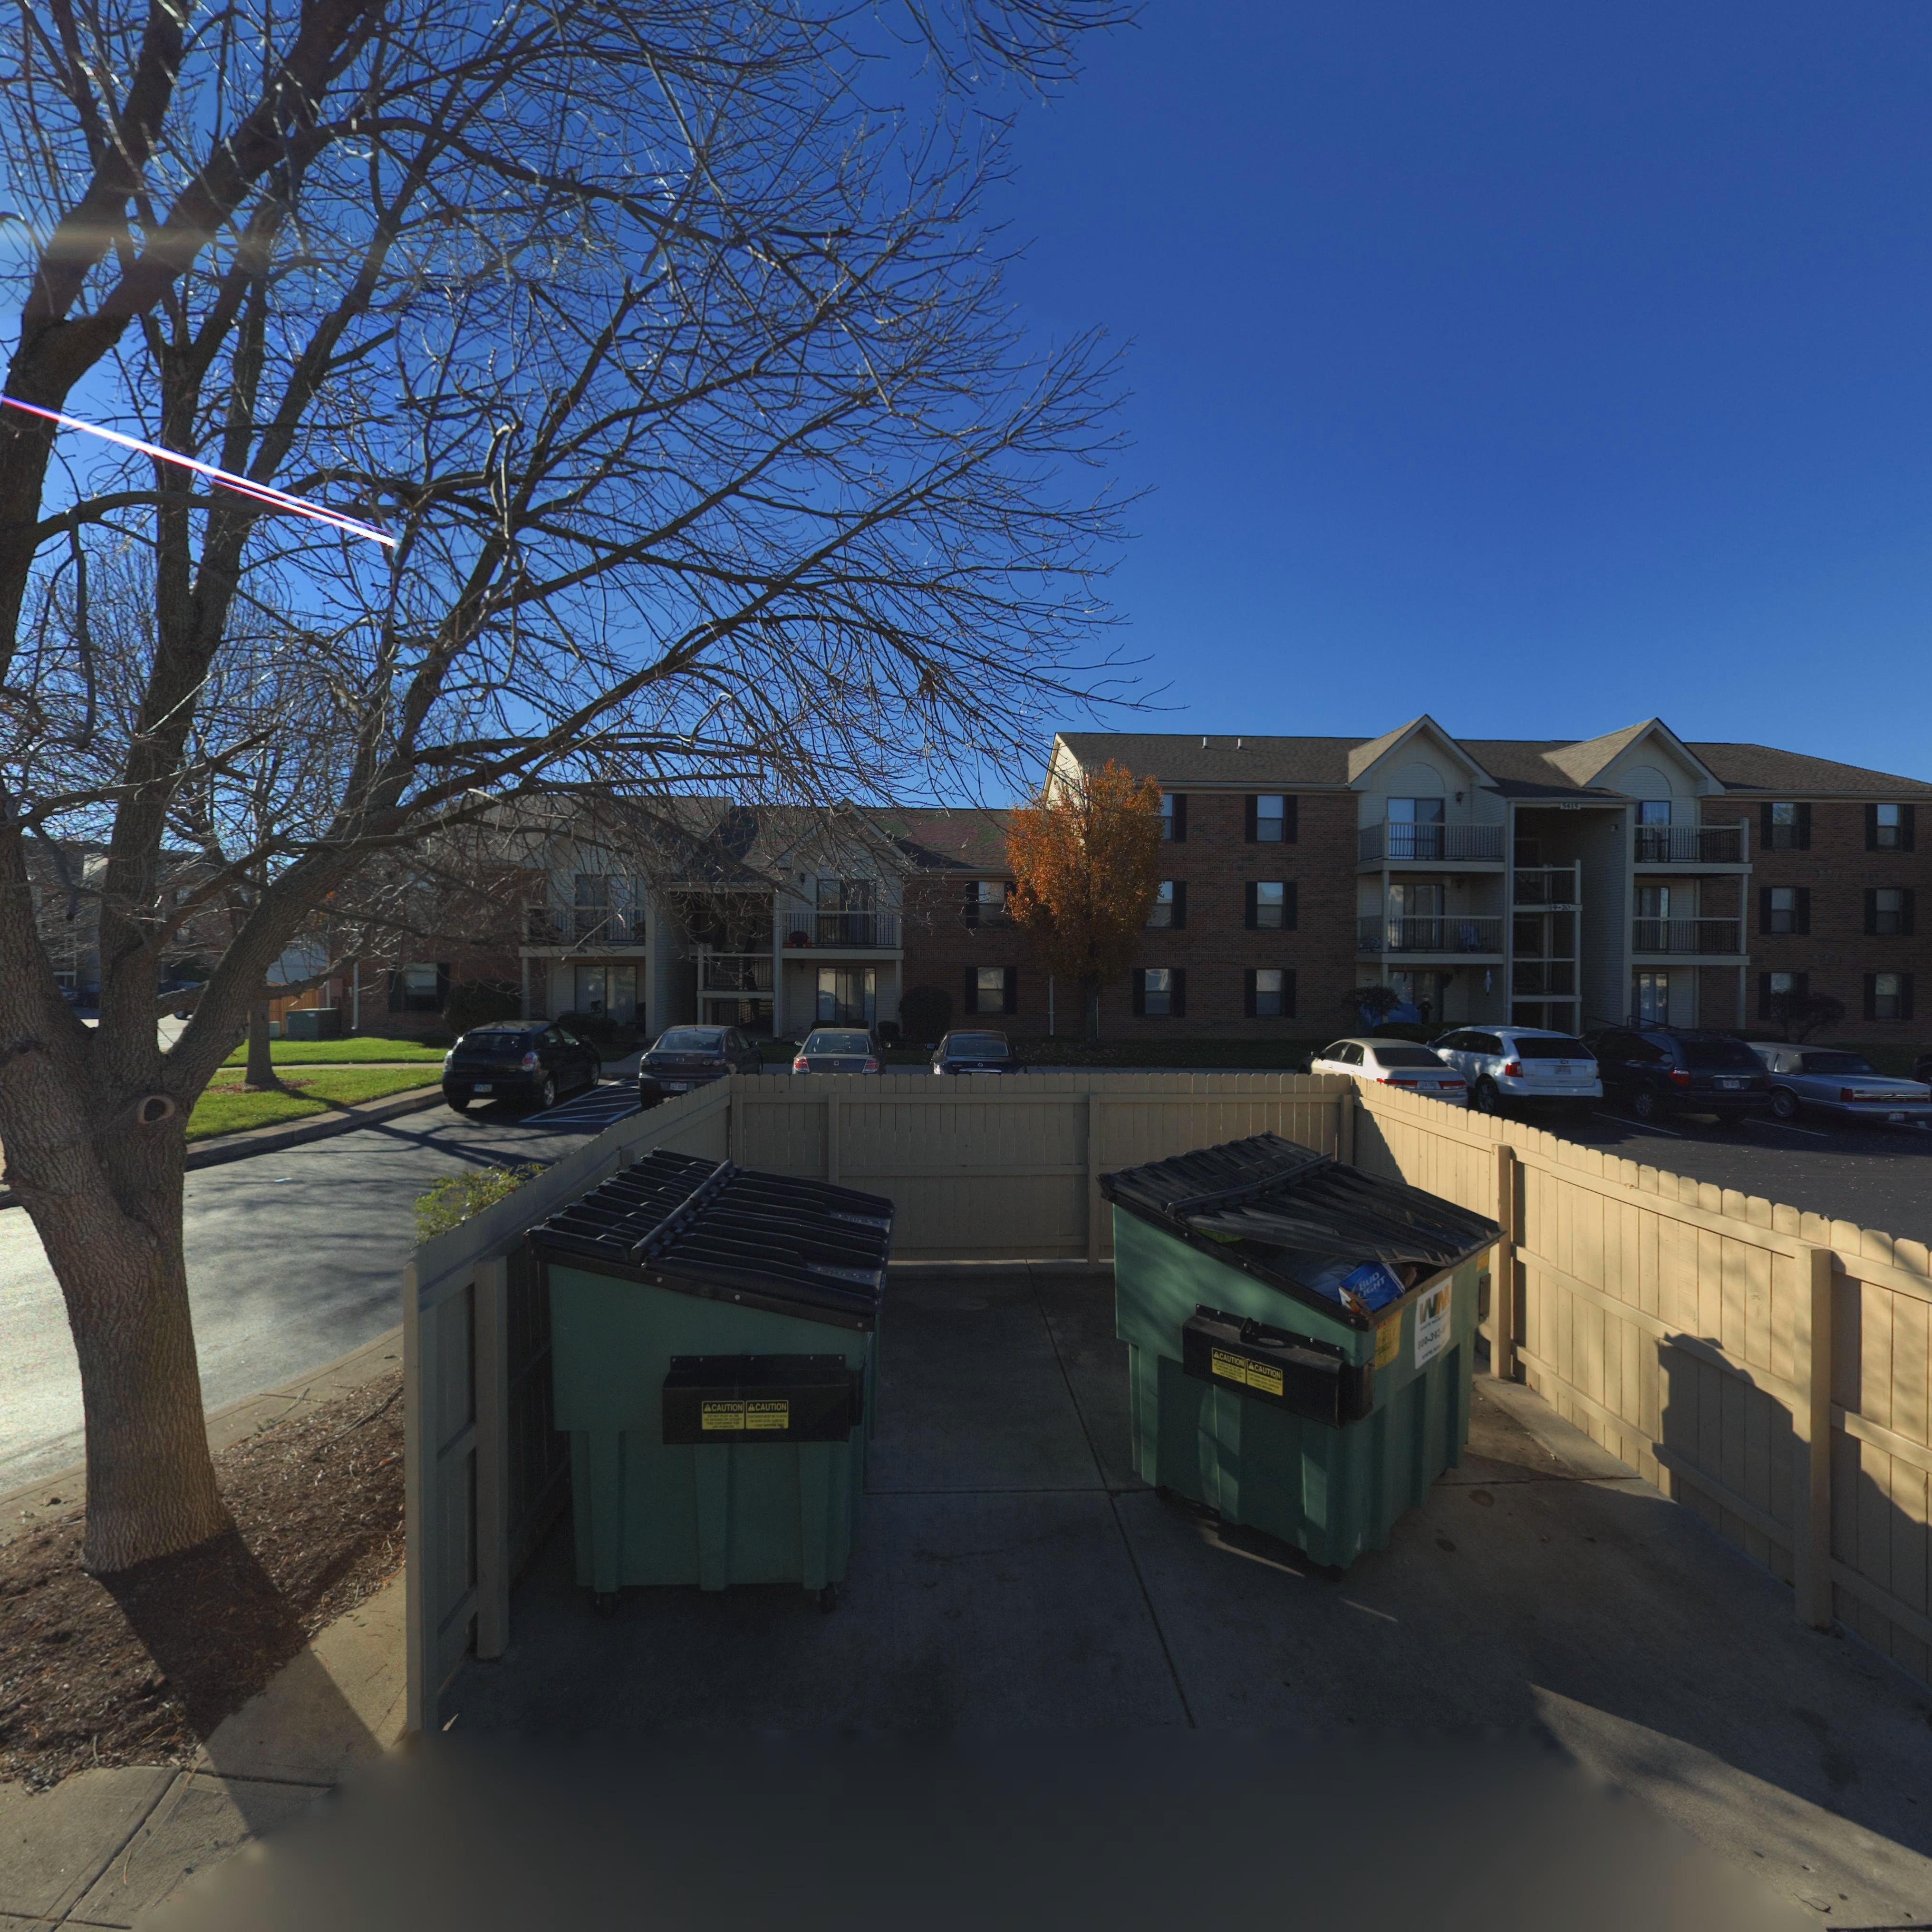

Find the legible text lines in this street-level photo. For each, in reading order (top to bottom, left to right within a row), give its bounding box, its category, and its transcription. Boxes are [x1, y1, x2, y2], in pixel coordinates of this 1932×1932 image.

[1560, 802, 1579, 810] StreetNumber: 5415
[1552, 904, 1571, 910] StreetNumber: 9-20